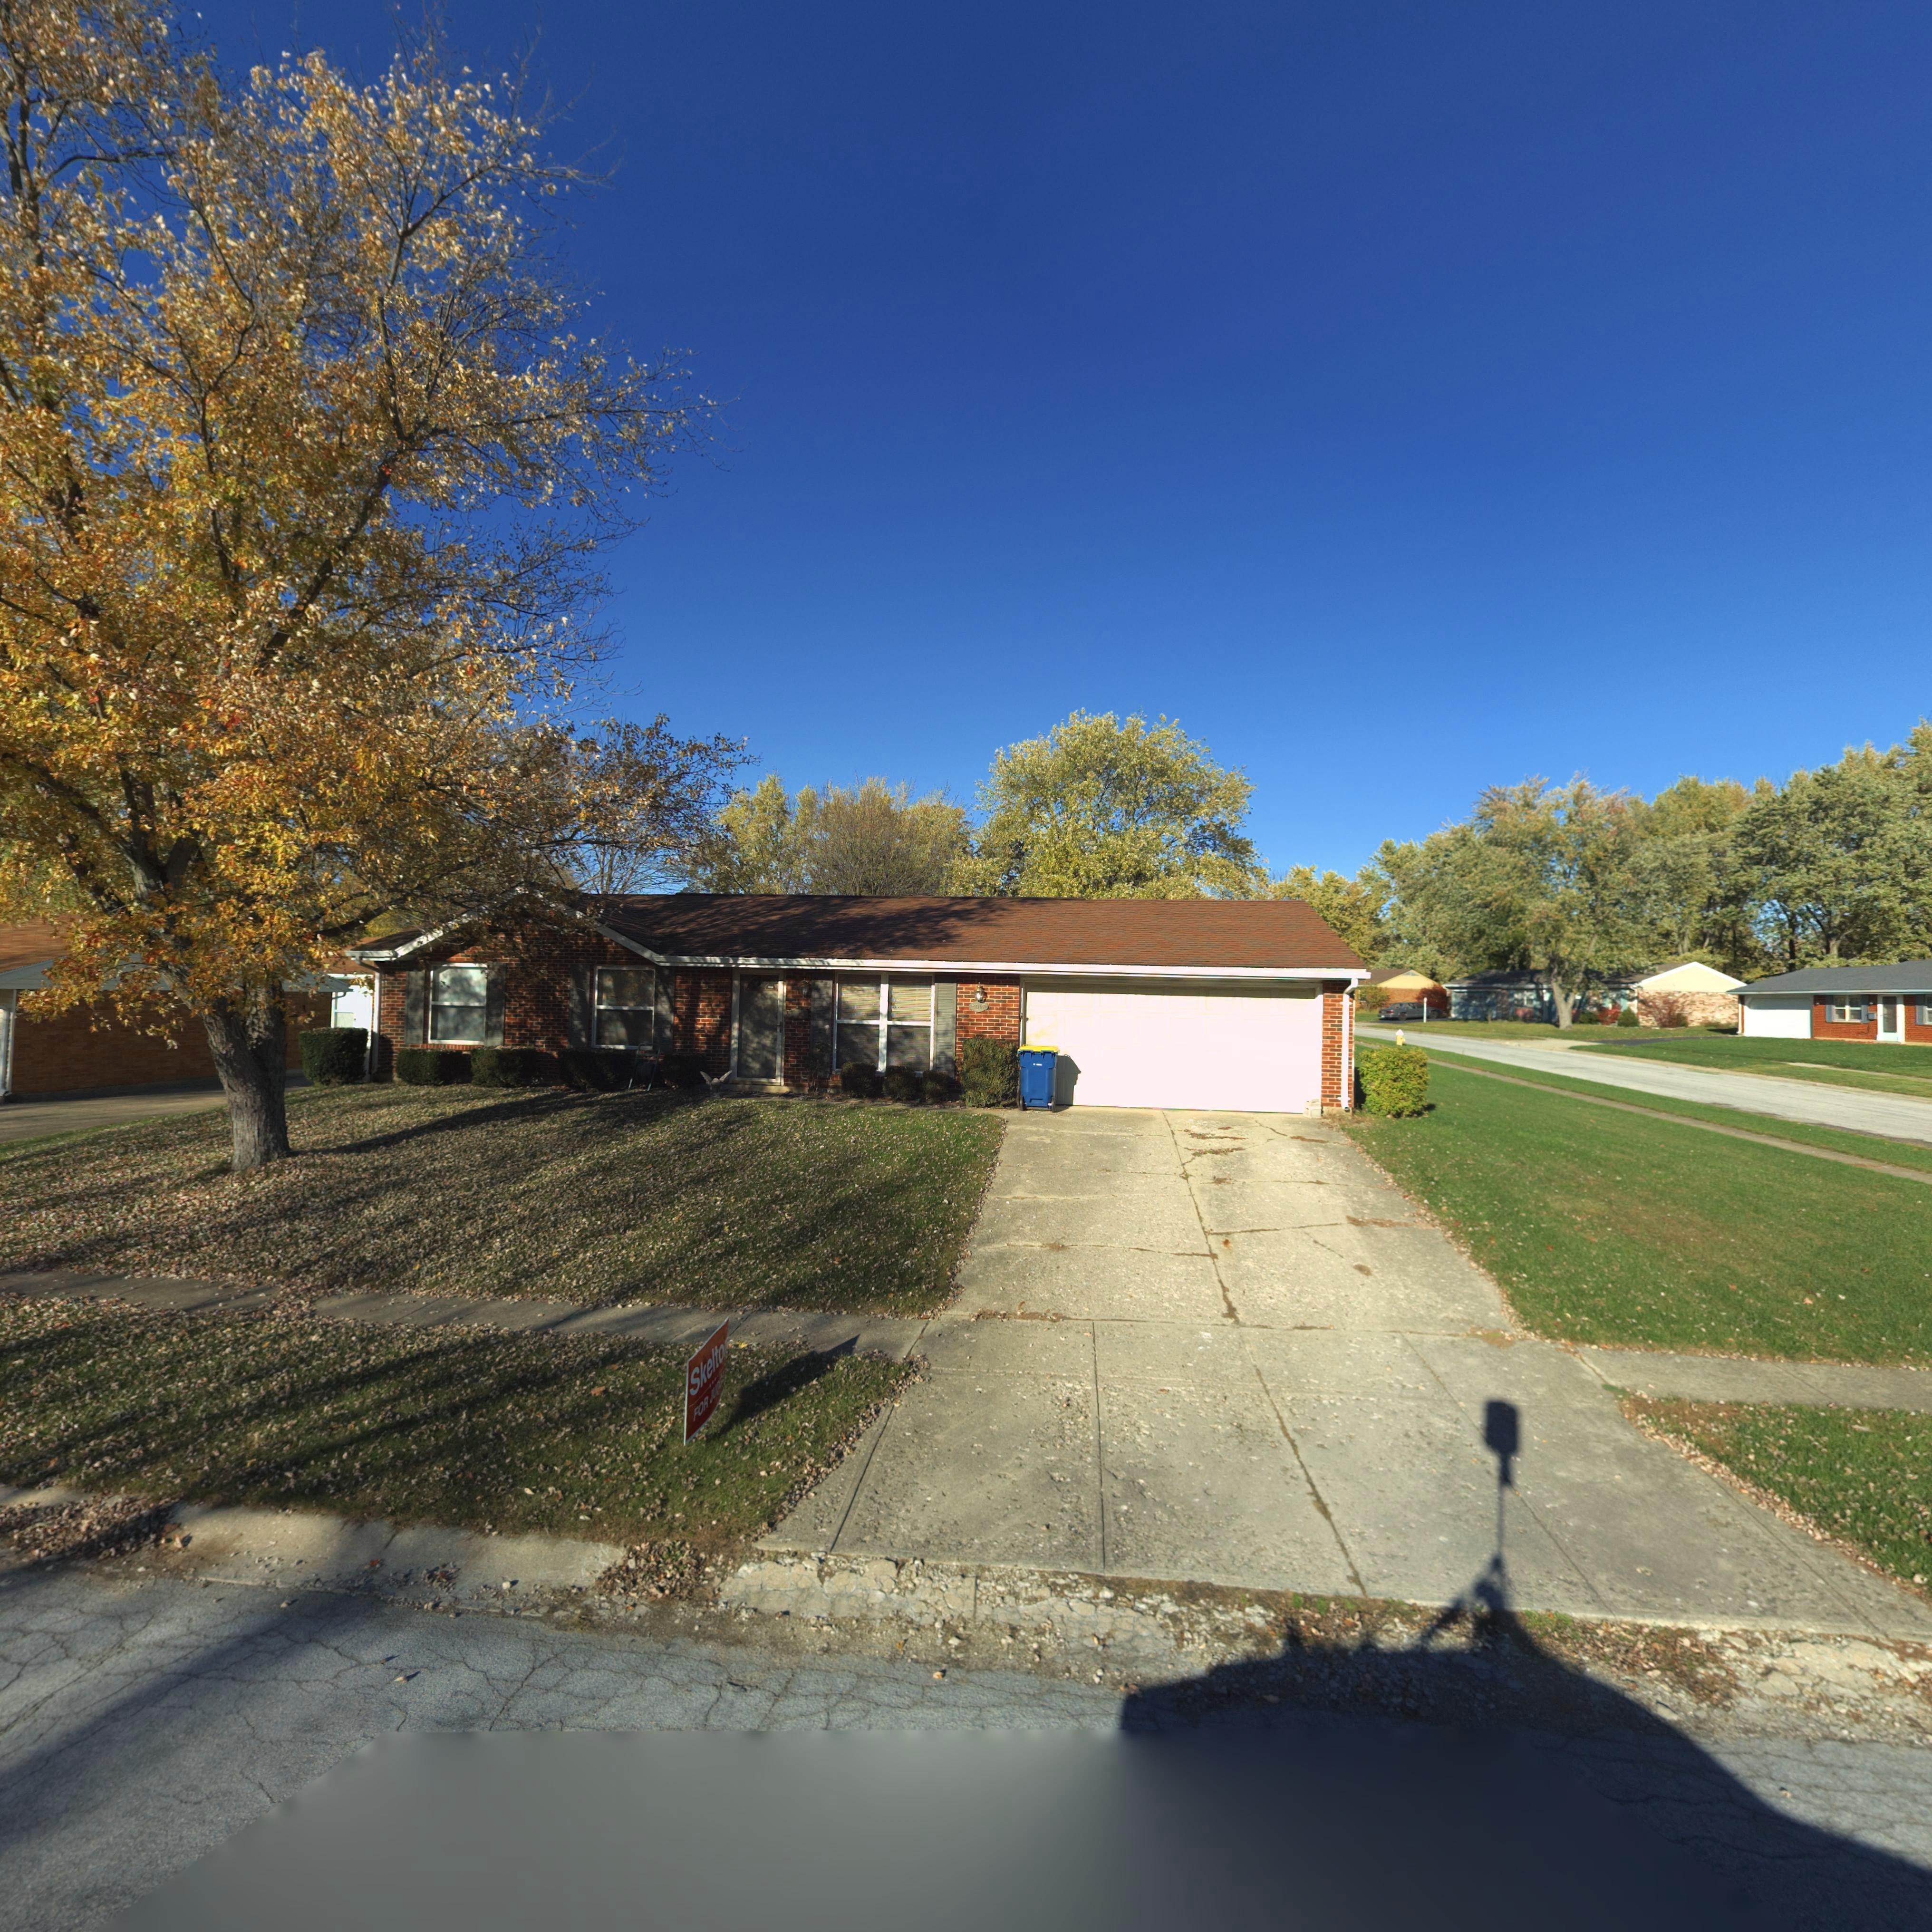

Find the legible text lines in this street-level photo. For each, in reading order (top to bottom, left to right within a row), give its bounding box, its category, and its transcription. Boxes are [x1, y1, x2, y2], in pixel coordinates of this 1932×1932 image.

[971, 1004, 985, 1009] StreetNumber: 5005